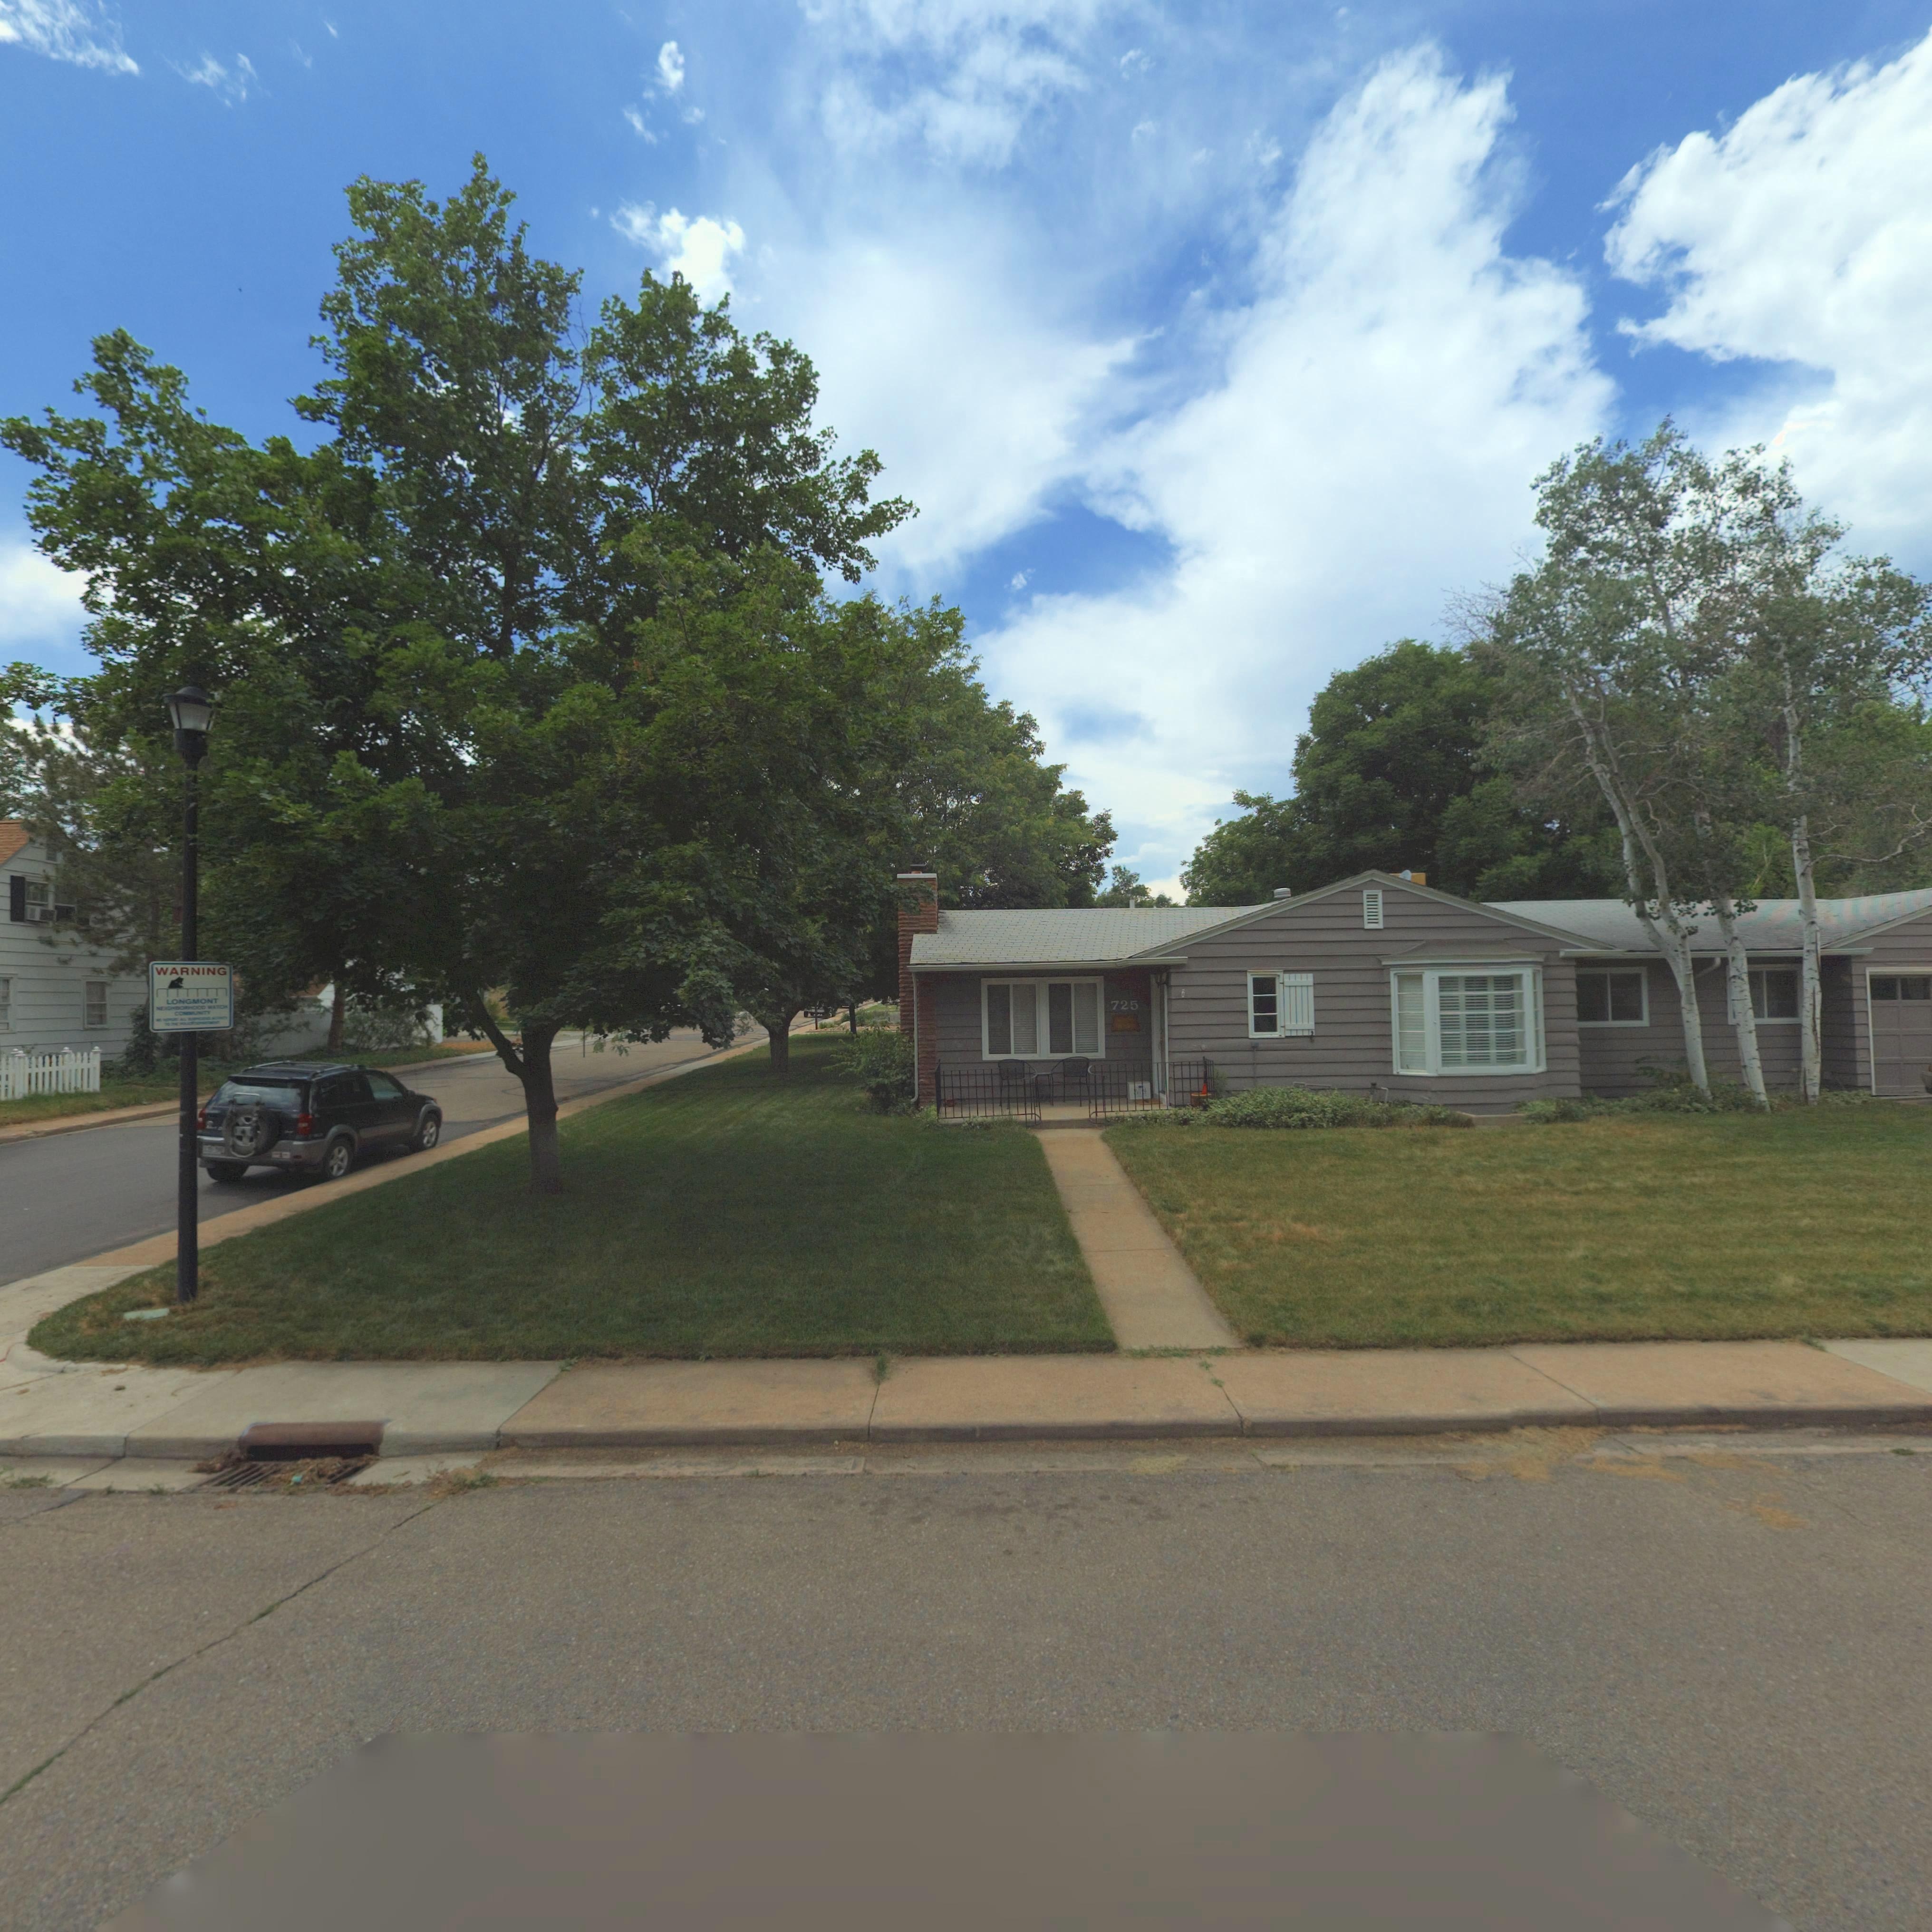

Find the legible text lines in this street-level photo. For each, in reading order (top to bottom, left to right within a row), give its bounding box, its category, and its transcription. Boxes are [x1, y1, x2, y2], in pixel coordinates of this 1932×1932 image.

[1111, 1000, 1138, 1010] StreetNumber: 725